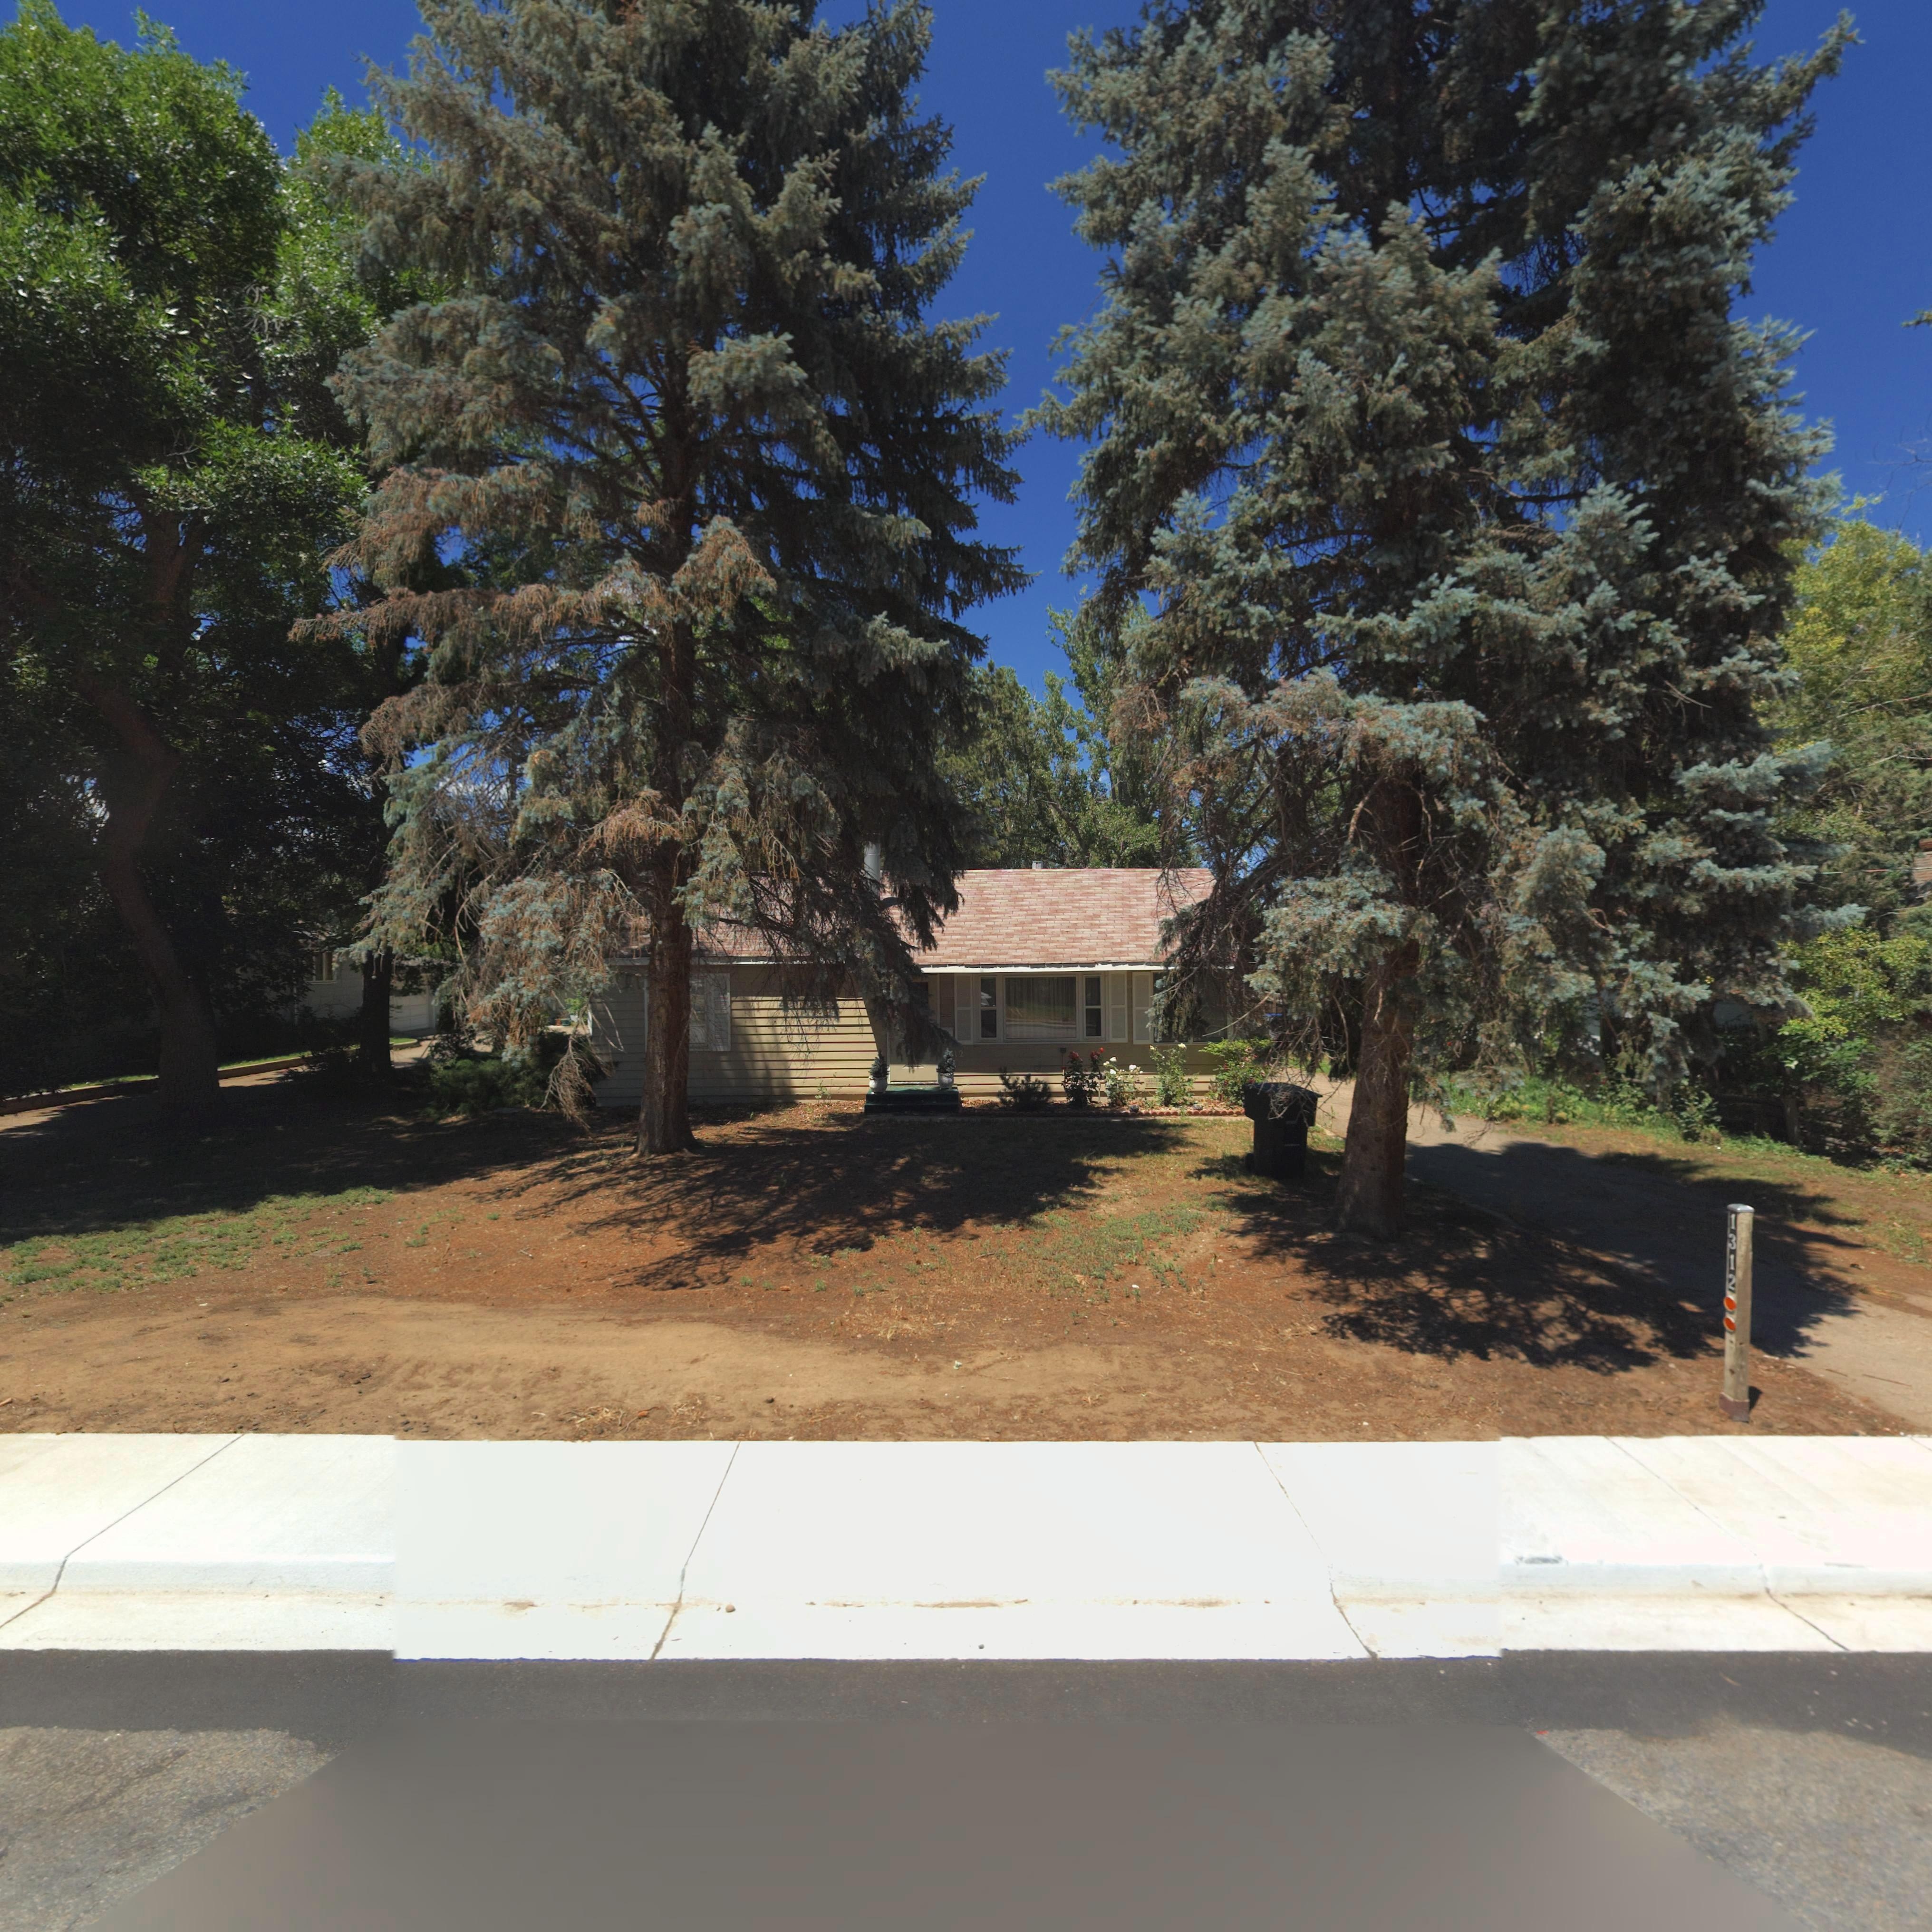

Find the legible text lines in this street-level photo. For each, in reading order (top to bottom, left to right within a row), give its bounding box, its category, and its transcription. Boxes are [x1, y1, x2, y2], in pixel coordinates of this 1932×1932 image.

[954, 1050, 964, 1058] StreetNumber: 12
[1727, 1213, 1737, 1292] StreetNumber: 1312